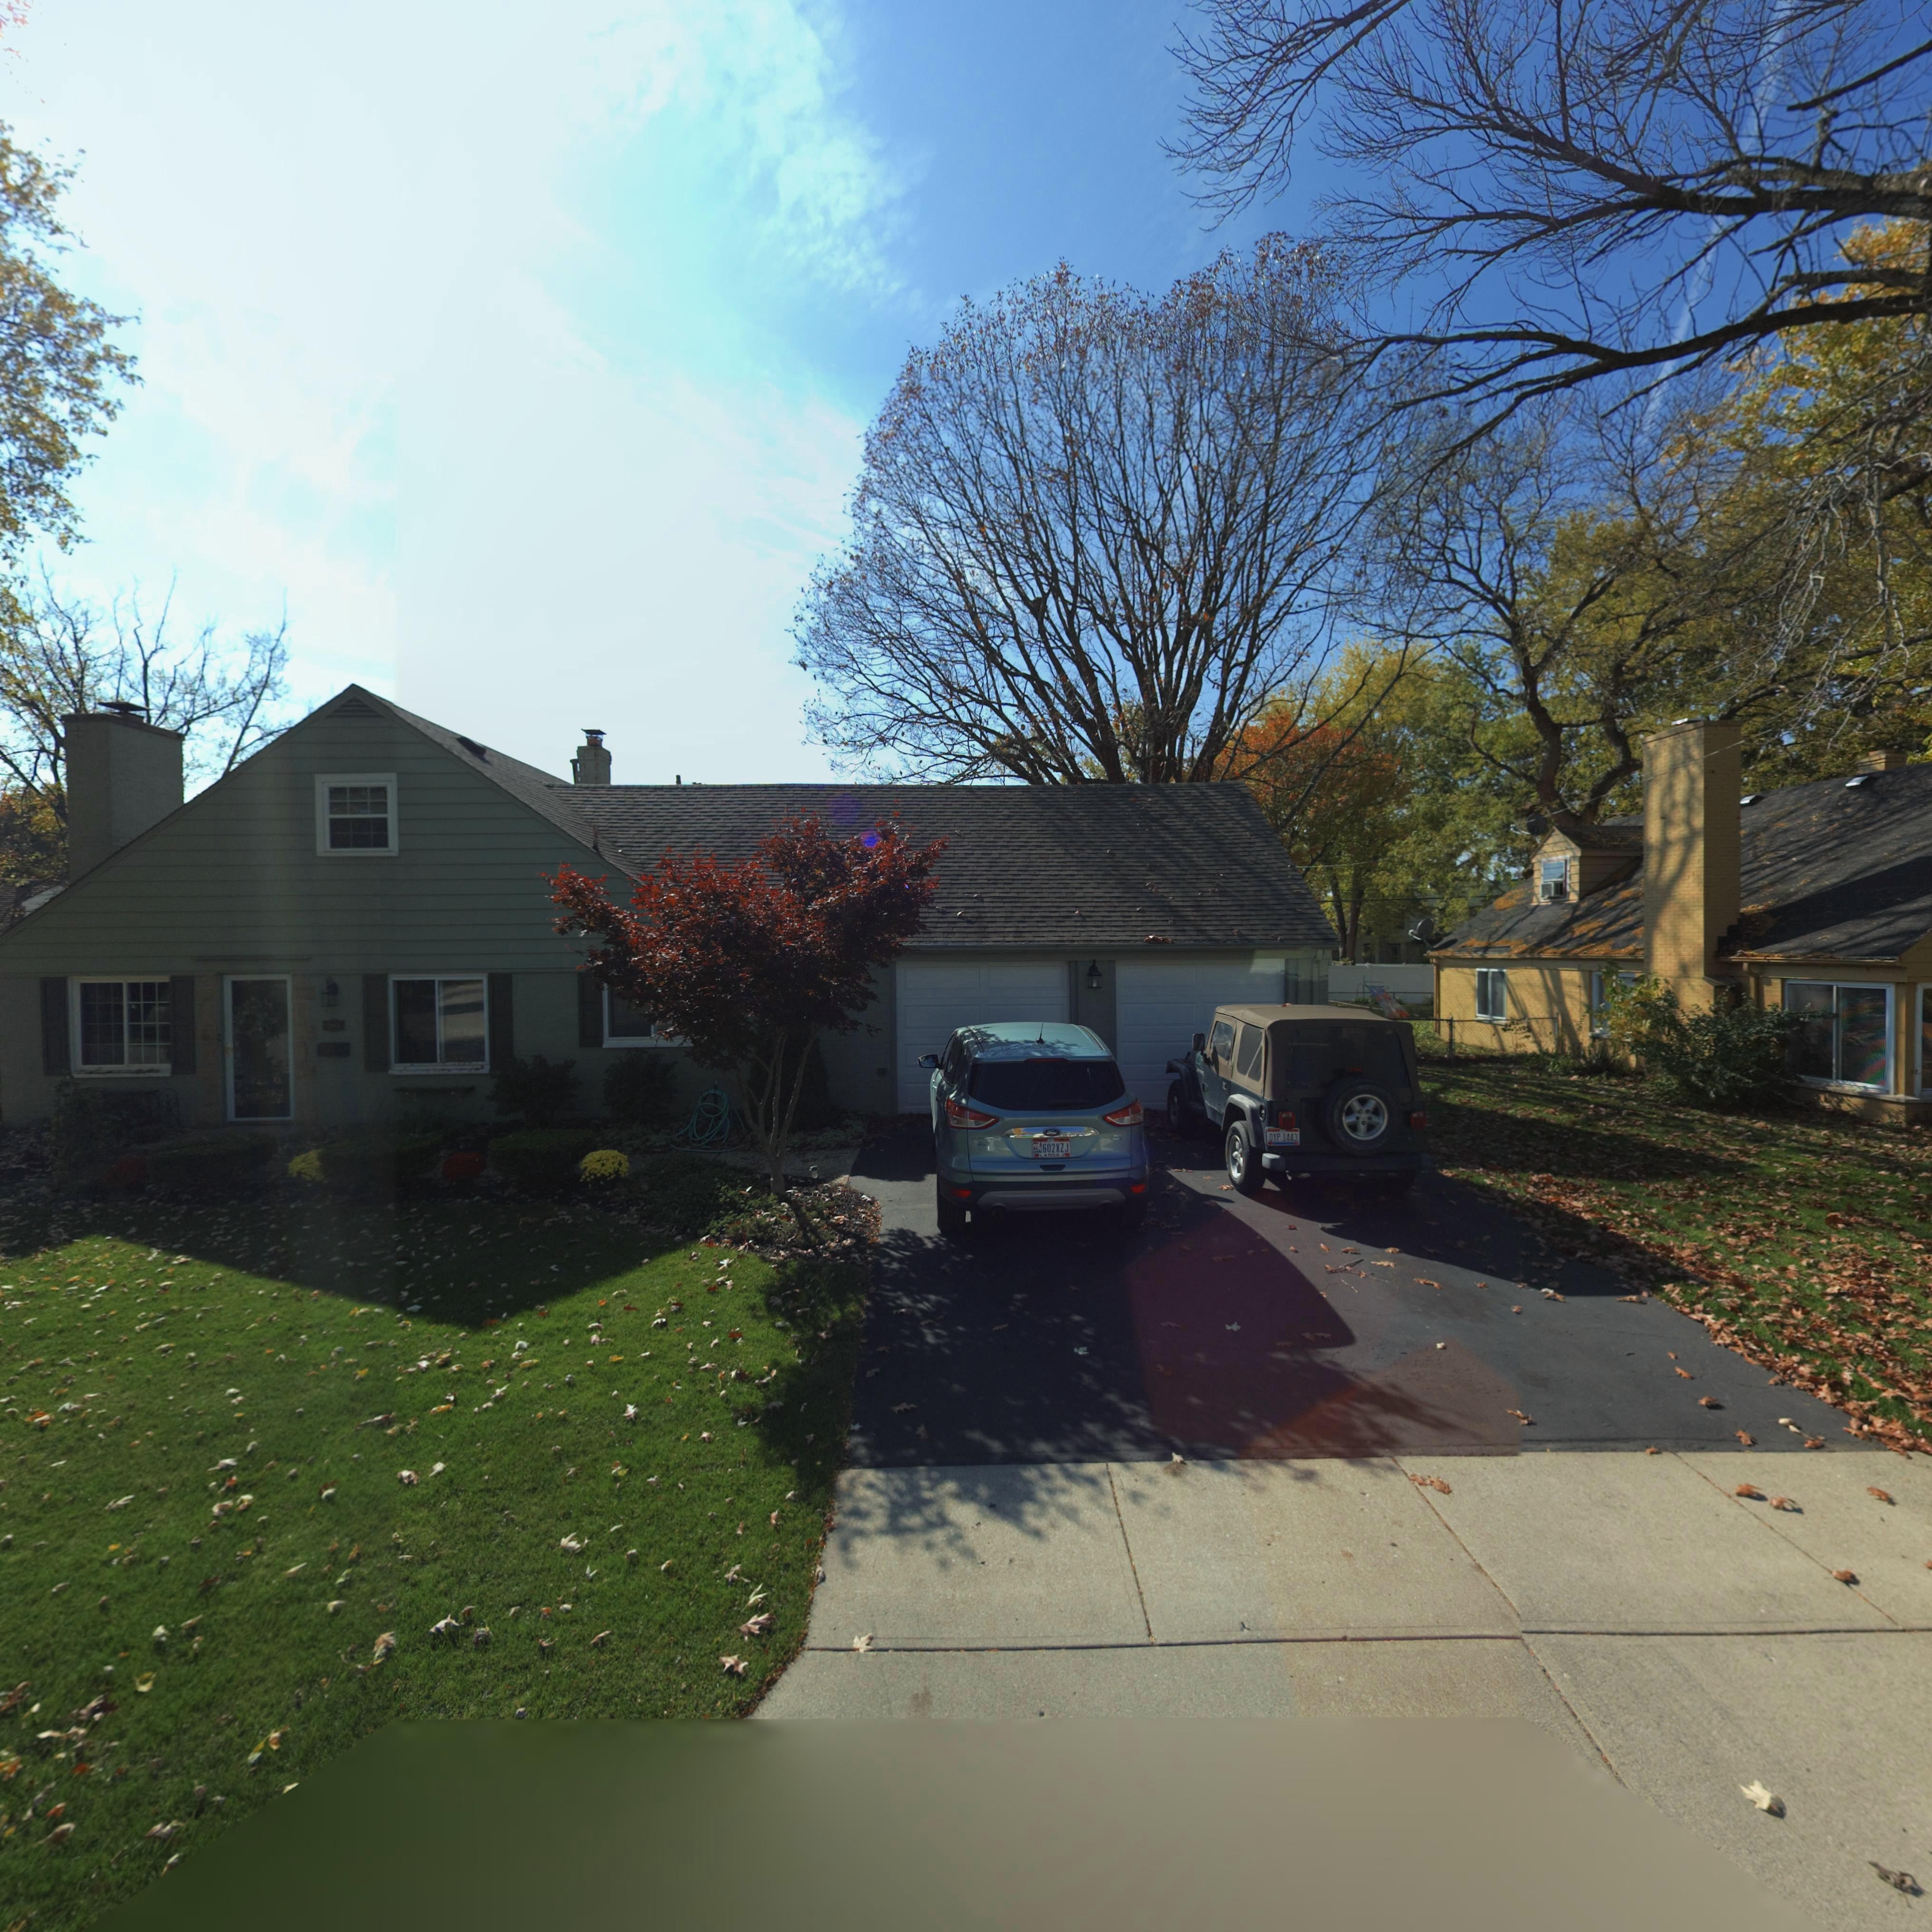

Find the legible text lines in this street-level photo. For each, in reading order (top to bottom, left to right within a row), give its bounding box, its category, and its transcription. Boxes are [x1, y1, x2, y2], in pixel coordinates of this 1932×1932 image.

[1268, 1132, 1298, 1142] None: DYP 1443
[1041, 1142, 1069, 1154] None: 602XZJ